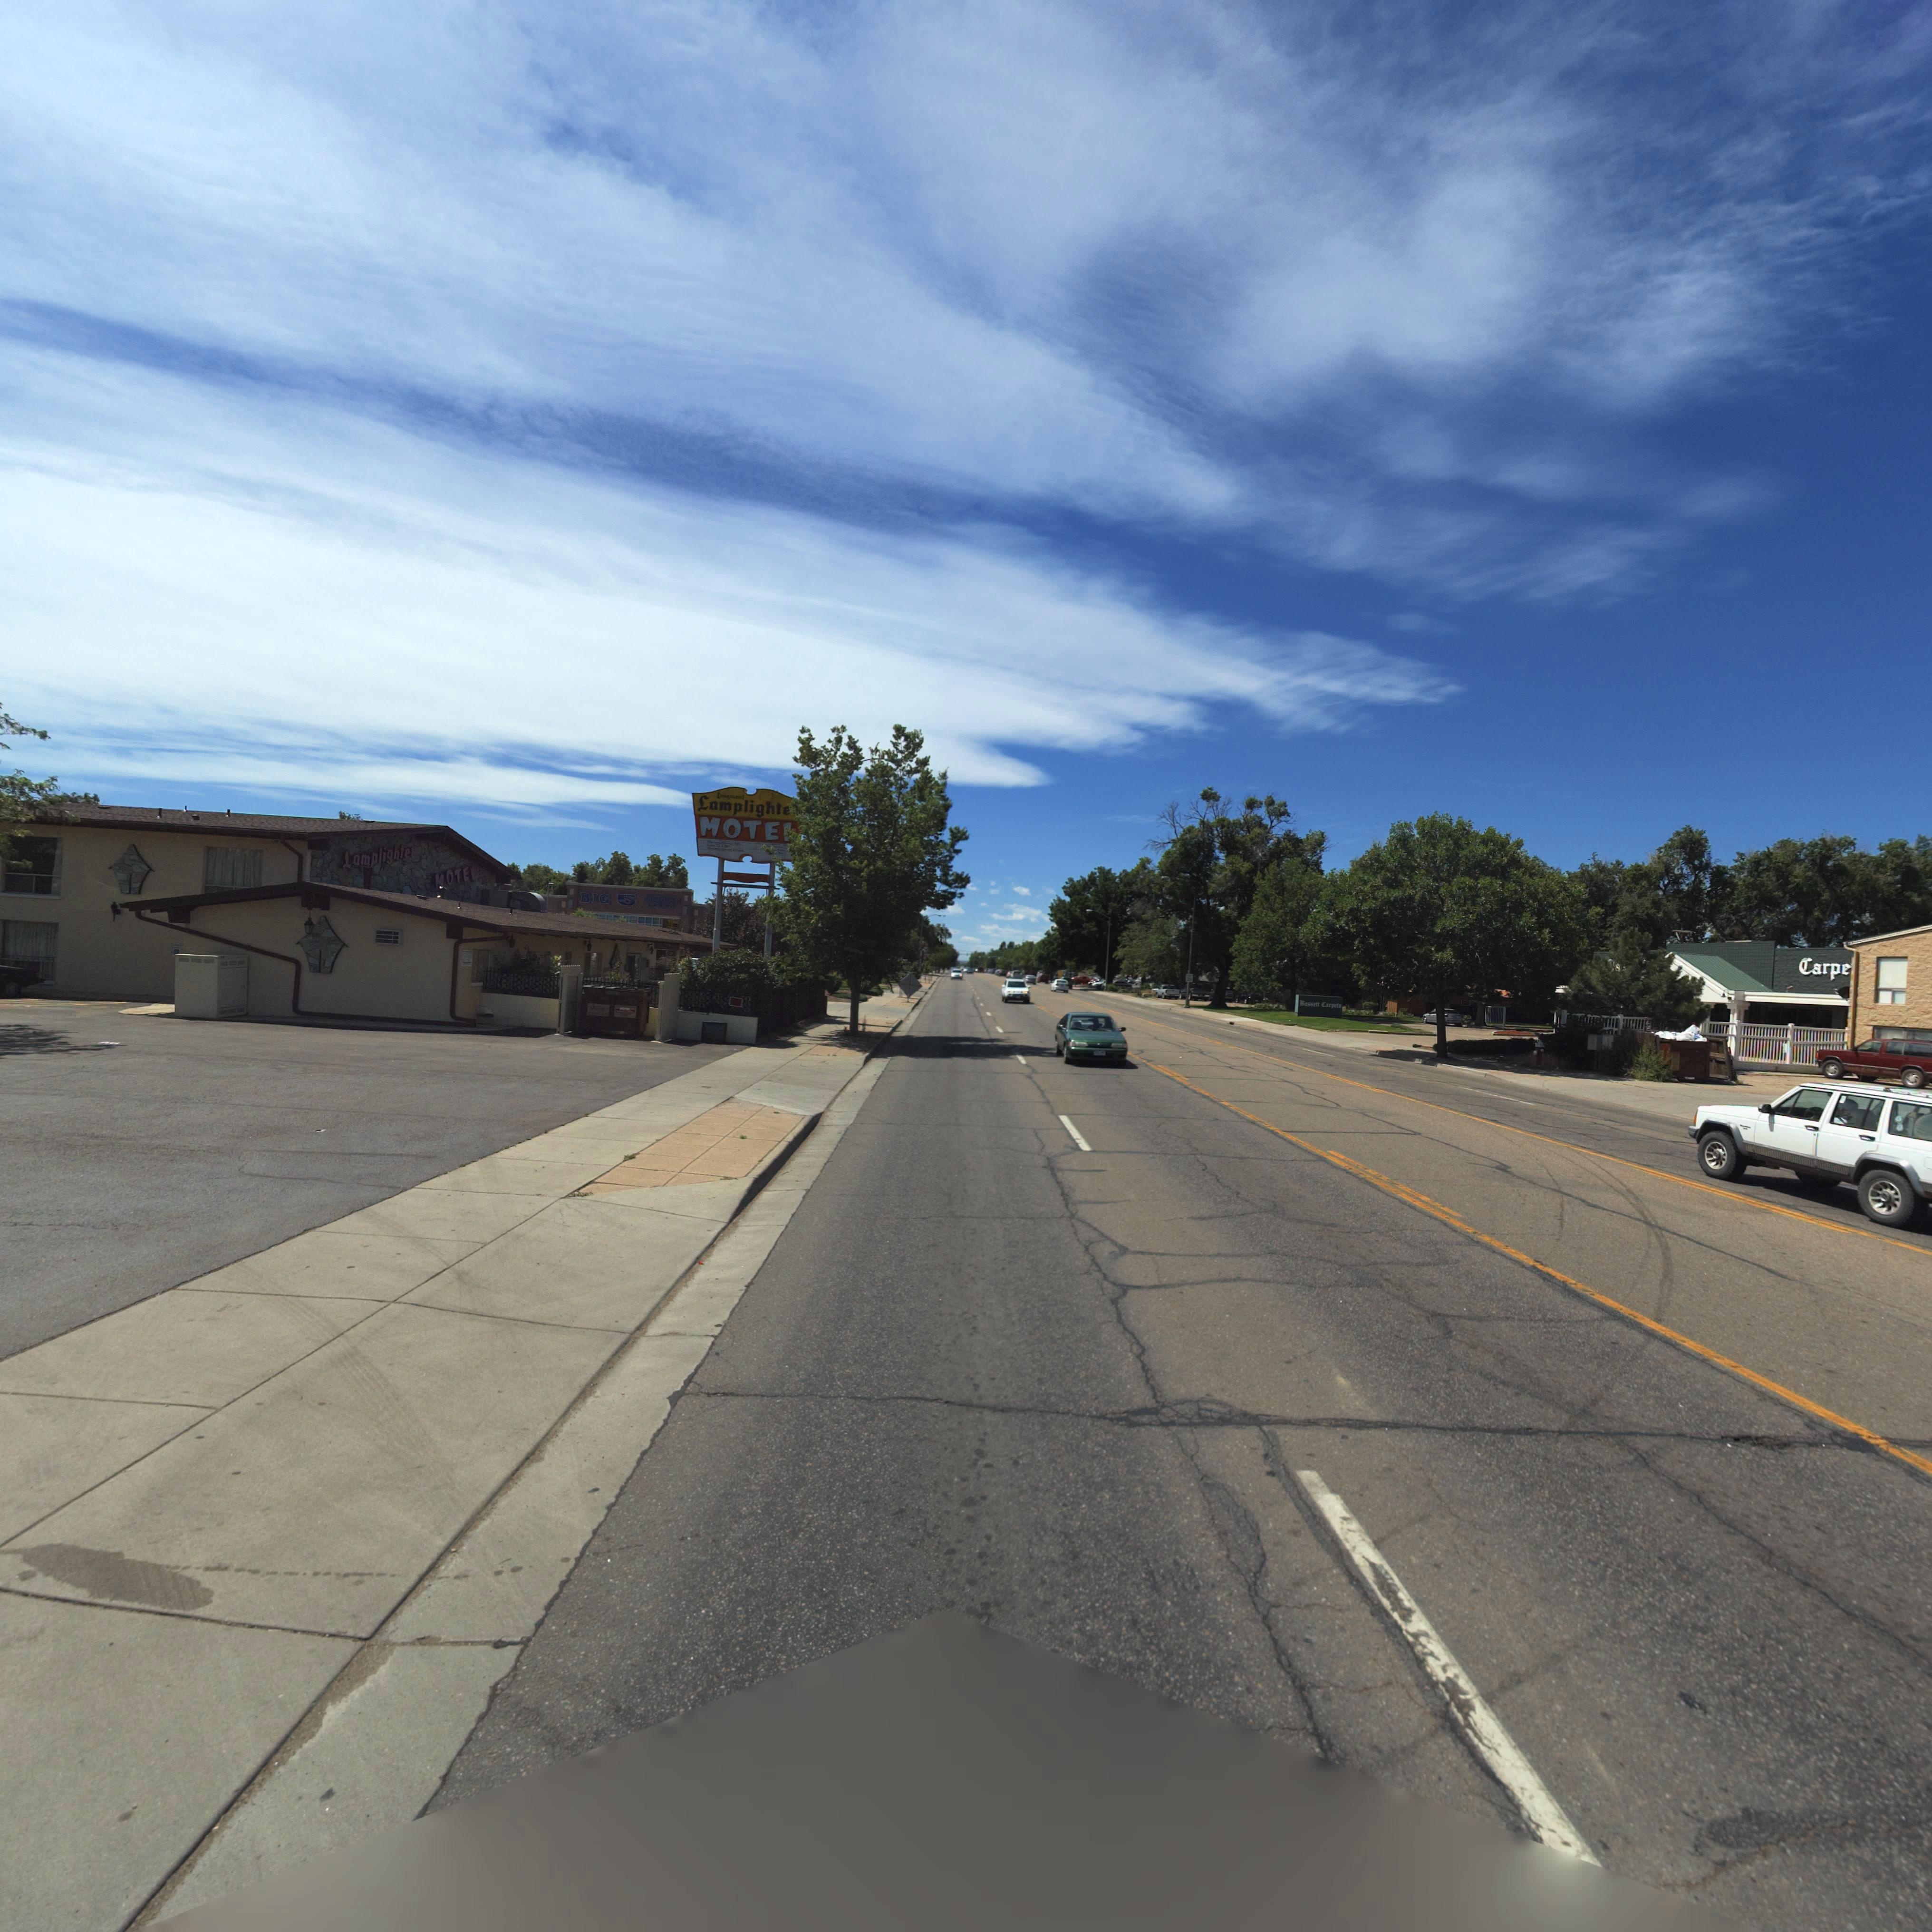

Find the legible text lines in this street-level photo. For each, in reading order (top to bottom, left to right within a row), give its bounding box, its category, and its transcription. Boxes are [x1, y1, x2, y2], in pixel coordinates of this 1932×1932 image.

[696, 794, 791, 818] BusinessName: Lamplighte
[699, 816, 792, 842] BusinessName: MOTE*
[342, 844, 415, 869] BusinessName: Lamplighte*
[435, 864, 477, 889] BusinessName: MOTE*
[579, 891, 636, 906] BusinessName: BIG 5
[647, 901, 674, 909] BusinessName: *O**S
[642, 895, 681, 904] BusinessName: ***R****
[1798, 956, 1852, 981] BusinessName: Carpe
[1299, 1000, 1342, 1009] BusinessName: B*ss*tt Carp**s